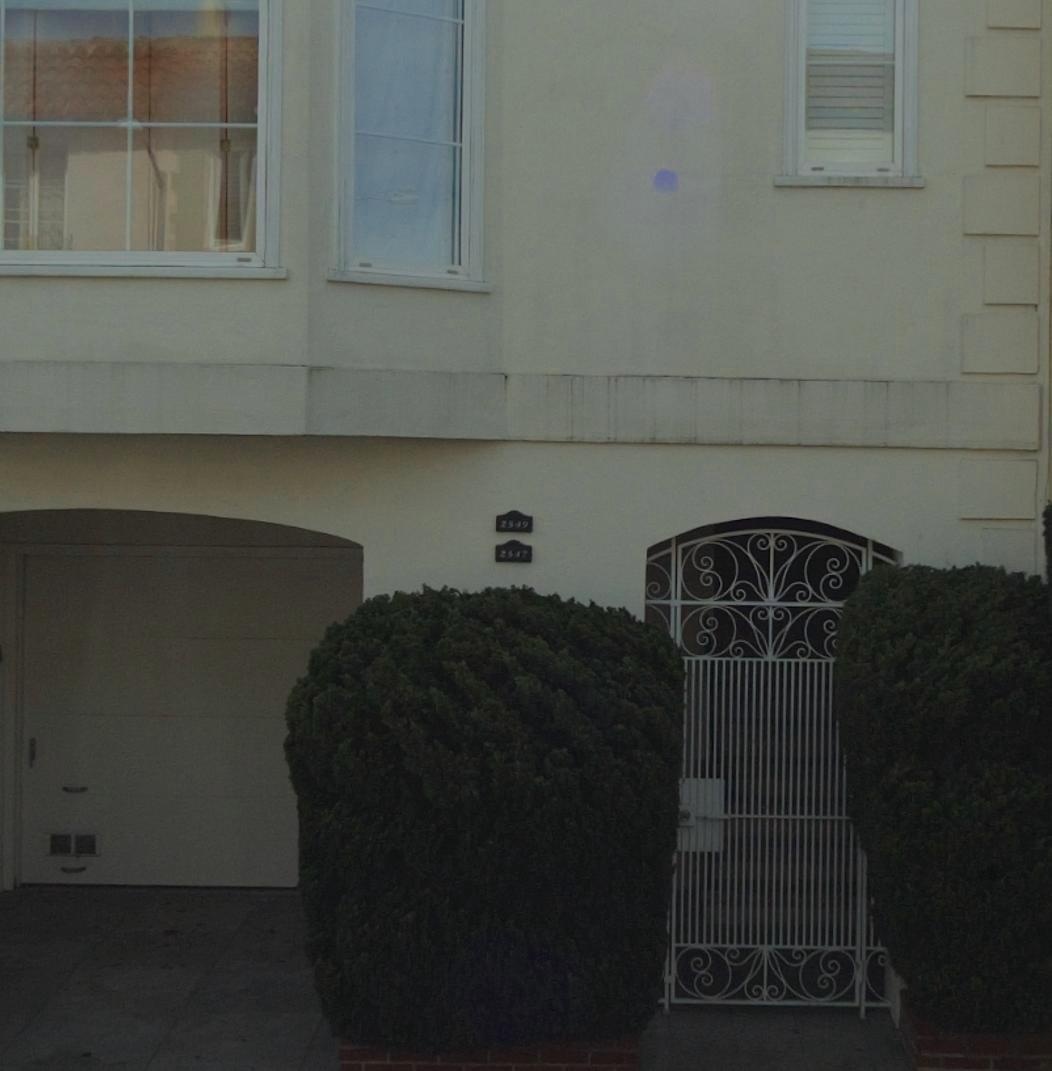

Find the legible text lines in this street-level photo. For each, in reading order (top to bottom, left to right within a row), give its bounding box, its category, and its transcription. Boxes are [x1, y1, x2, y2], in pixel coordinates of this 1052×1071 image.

[497, 518, 531, 531] StreetNumber: 2549
[498, 548, 530, 560] StreetNumber: 2547